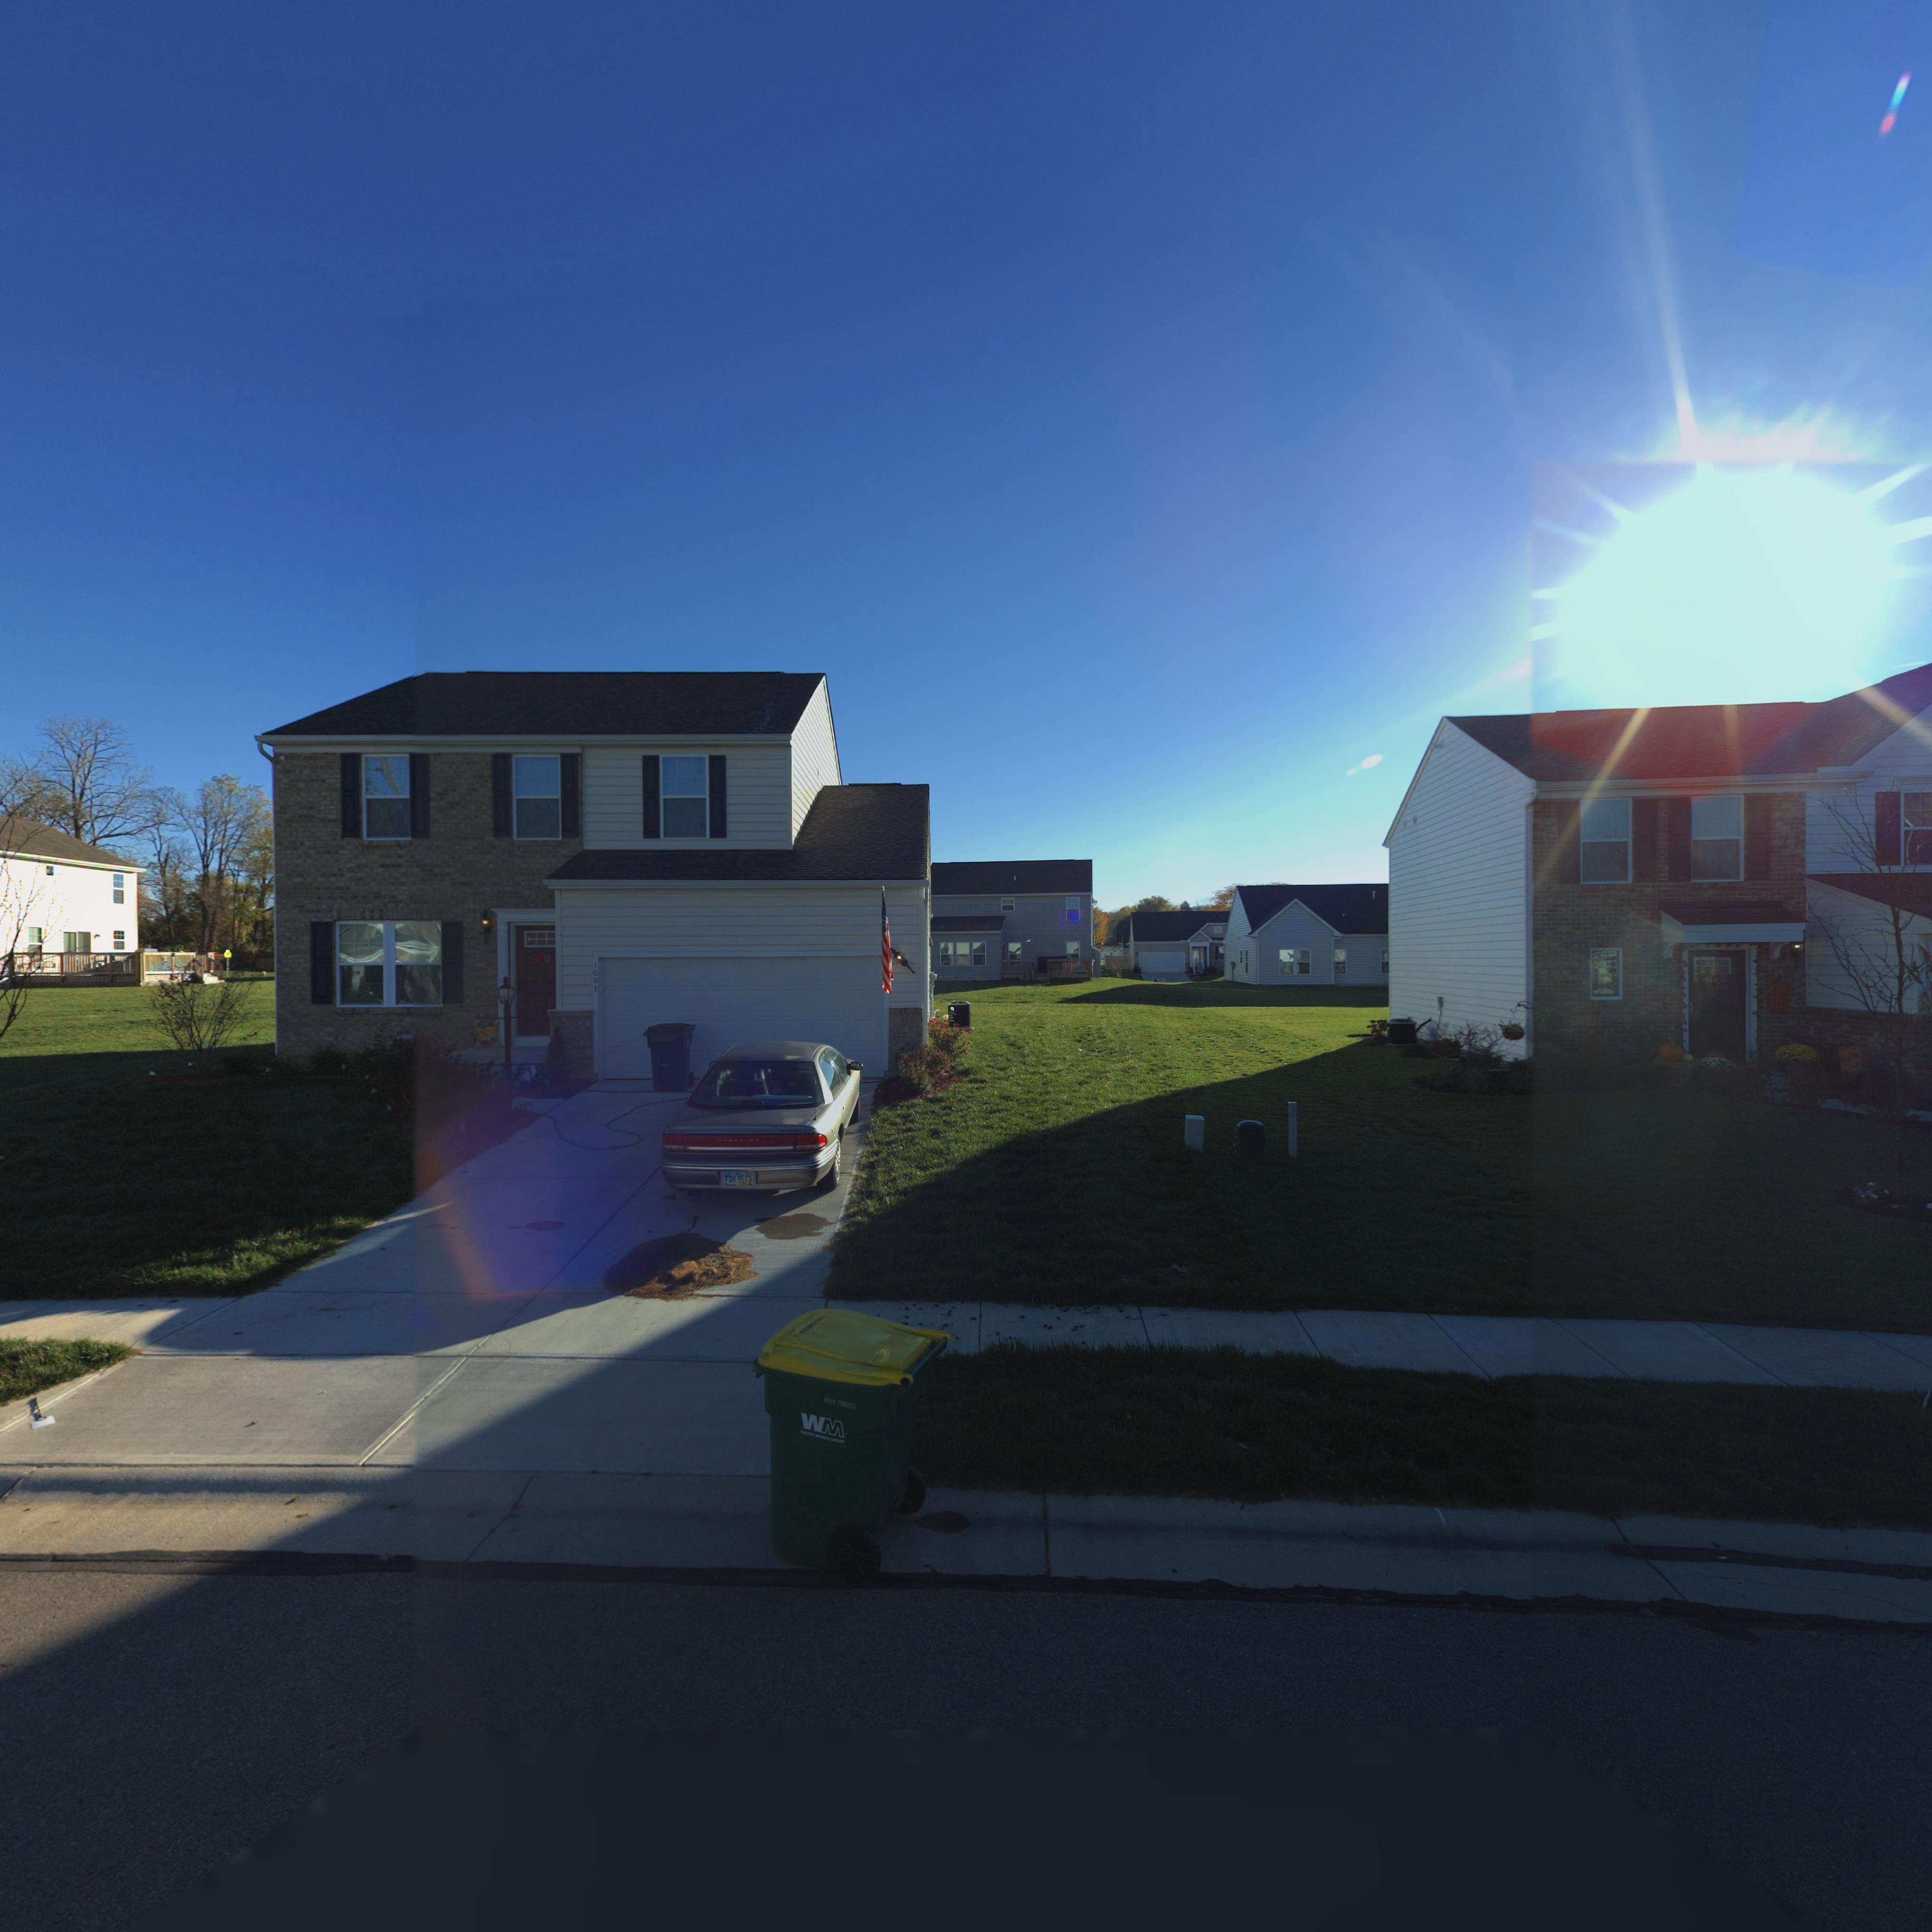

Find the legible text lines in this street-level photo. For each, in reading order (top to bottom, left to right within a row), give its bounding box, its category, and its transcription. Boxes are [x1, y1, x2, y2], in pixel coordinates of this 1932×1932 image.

[592, 961, 599, 993] StreetNumber: 1003